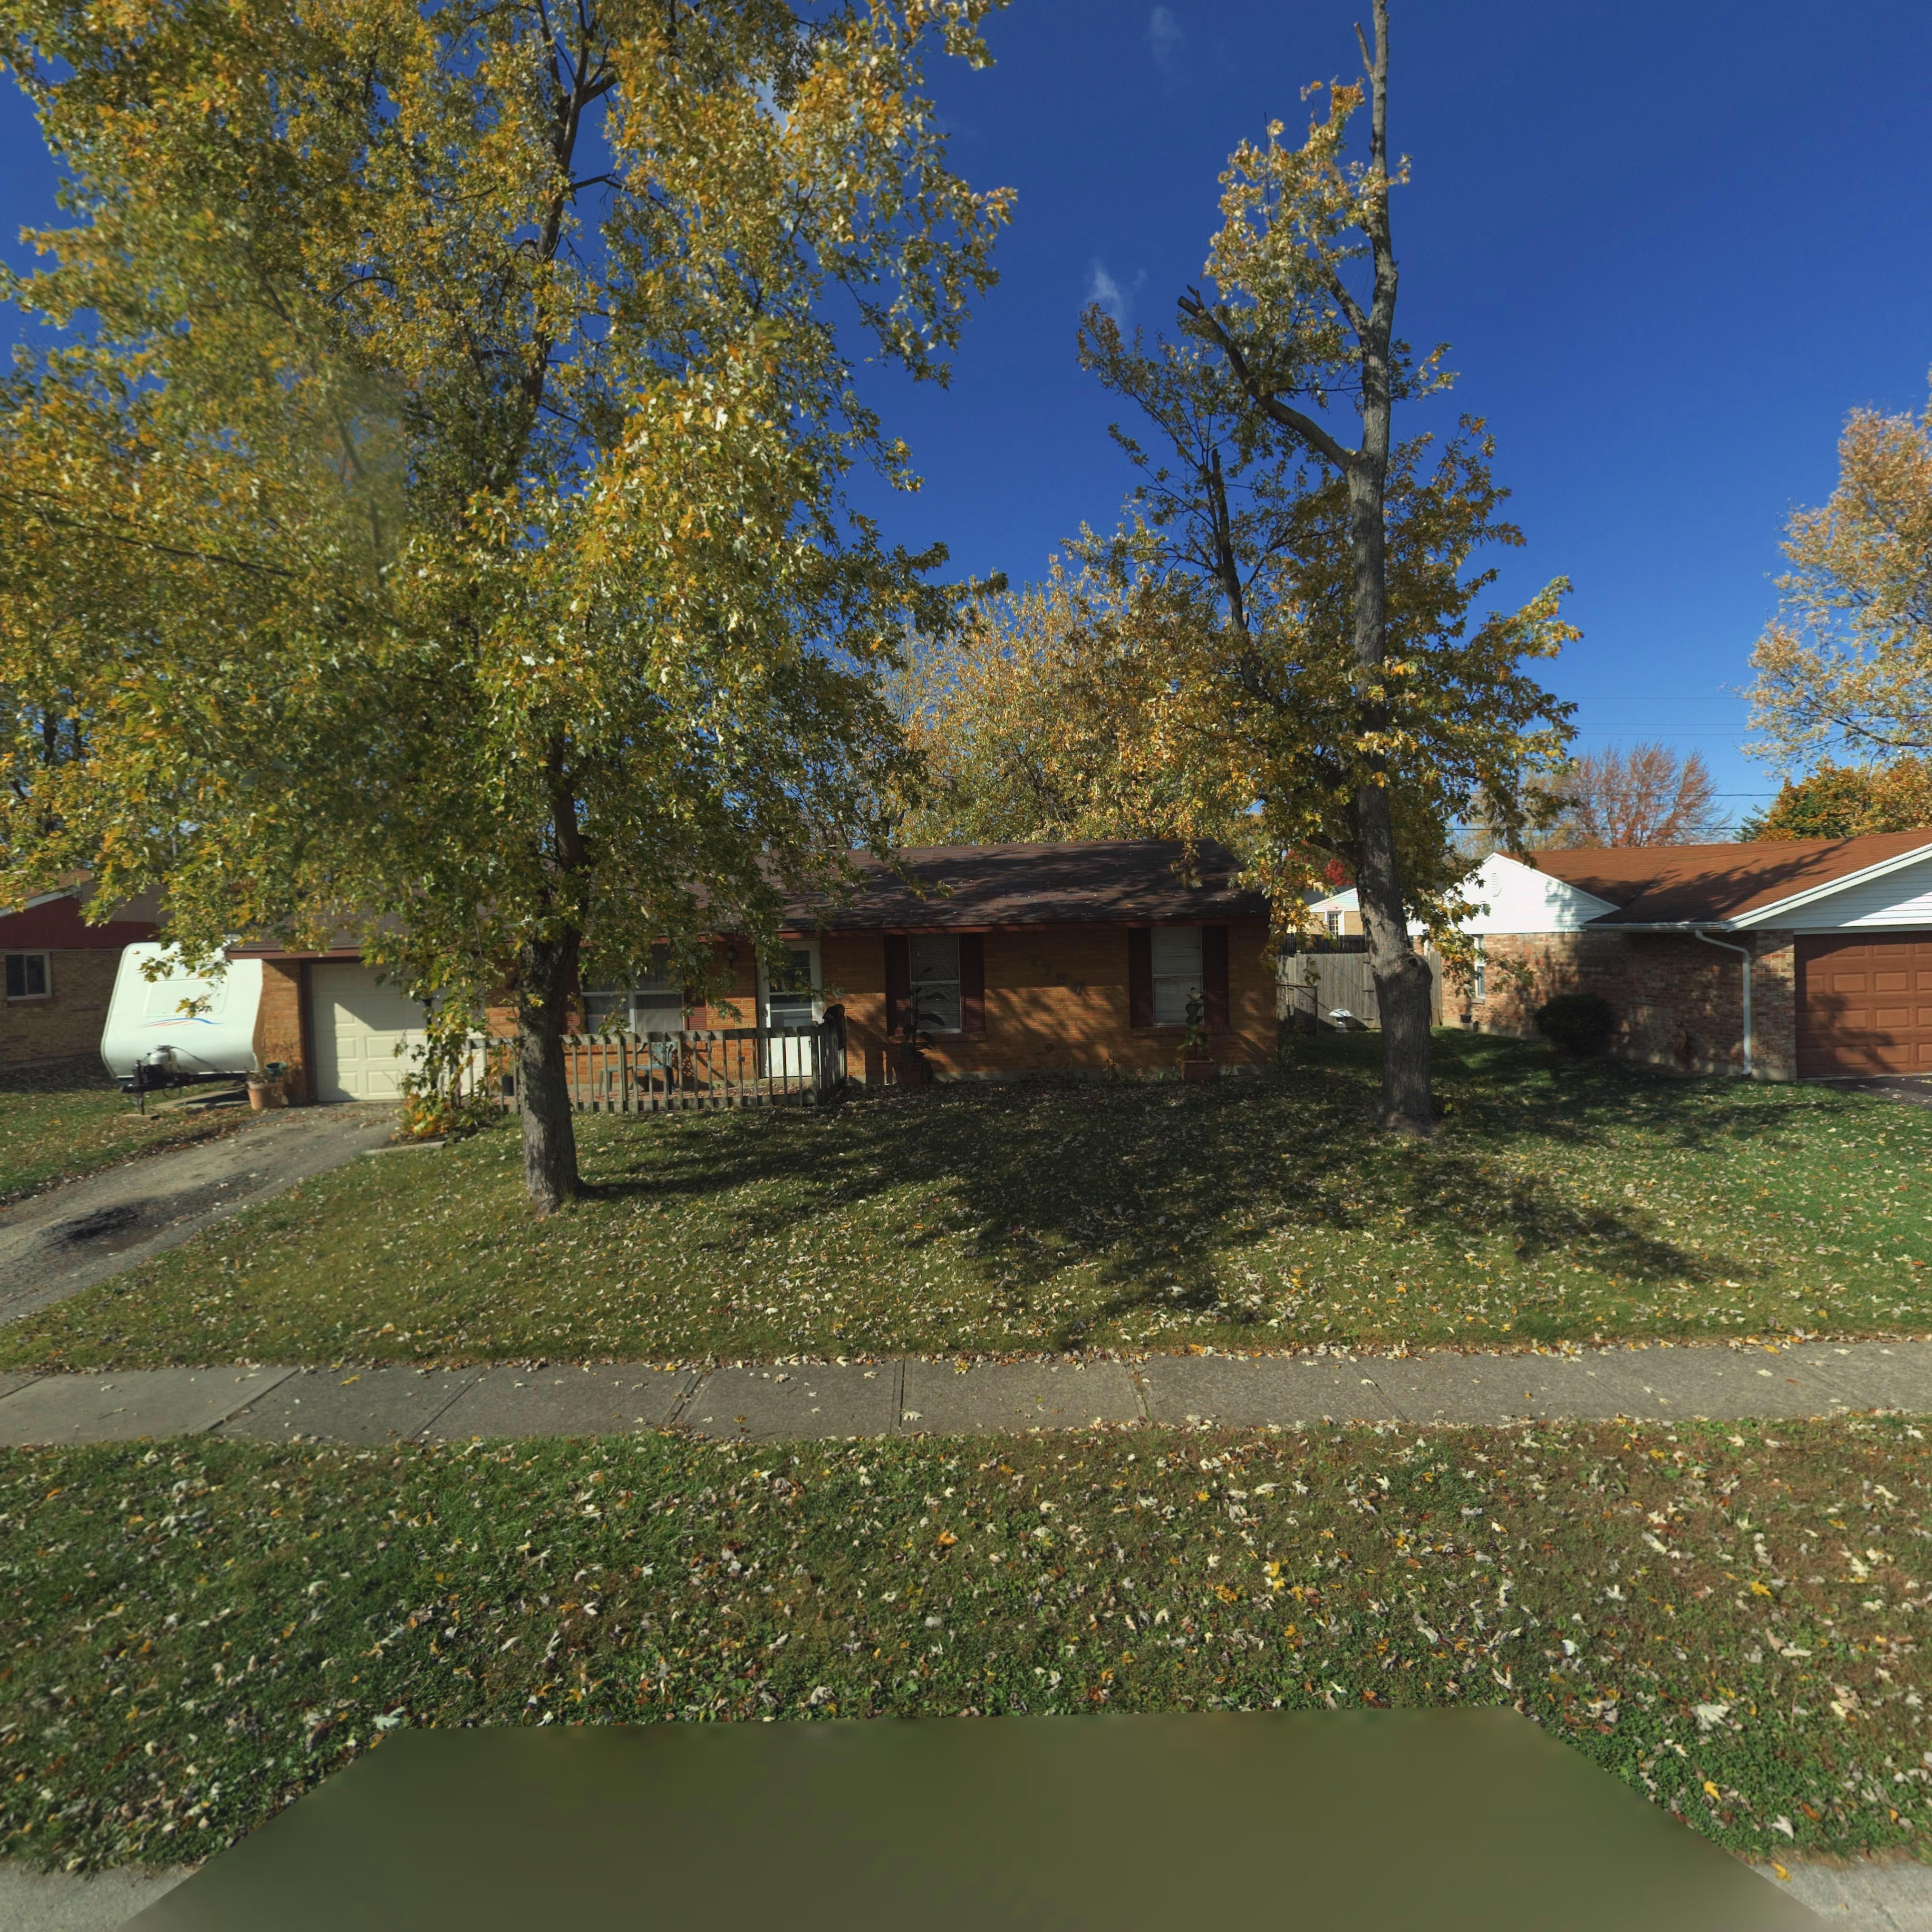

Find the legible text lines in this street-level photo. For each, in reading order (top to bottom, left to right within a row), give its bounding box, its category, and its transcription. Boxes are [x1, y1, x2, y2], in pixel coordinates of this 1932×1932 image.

[1028, 953, 1086, 996] StreetNumber: 7757